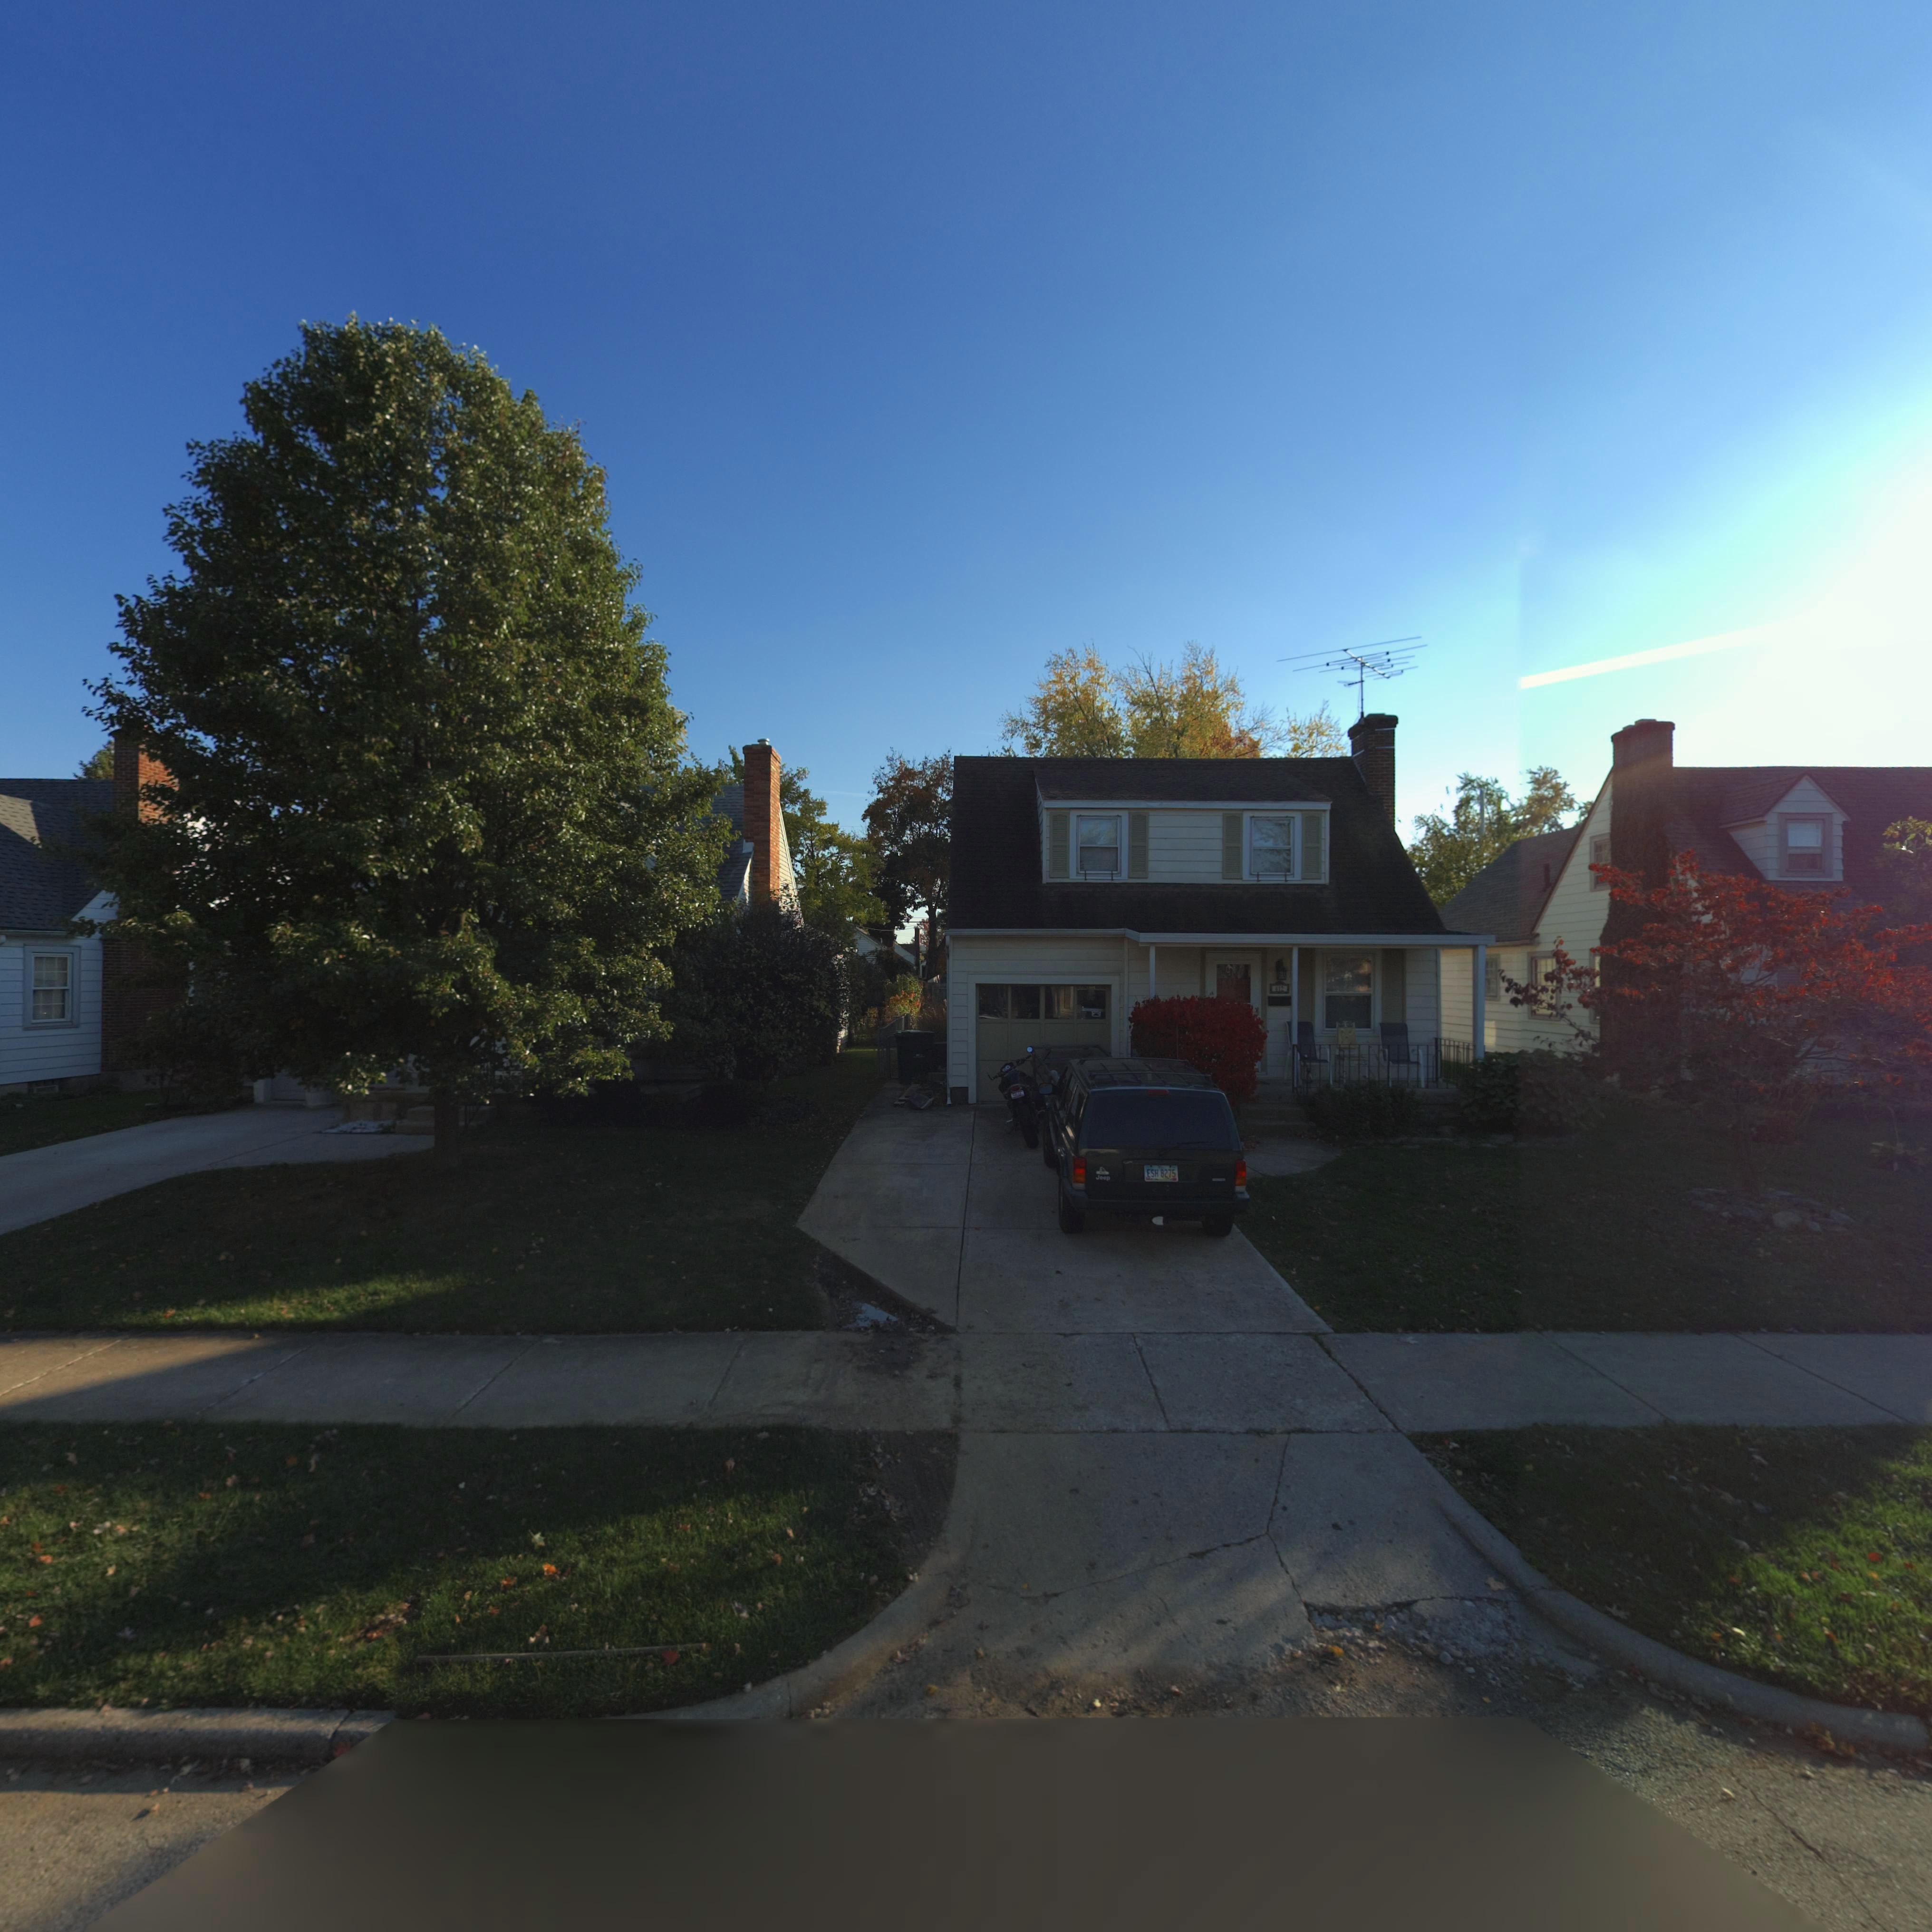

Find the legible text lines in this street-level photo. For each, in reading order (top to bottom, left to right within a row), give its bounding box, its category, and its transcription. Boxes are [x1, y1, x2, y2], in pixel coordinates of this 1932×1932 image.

[1274, 985, 1284, 991] StreetNumber: 412